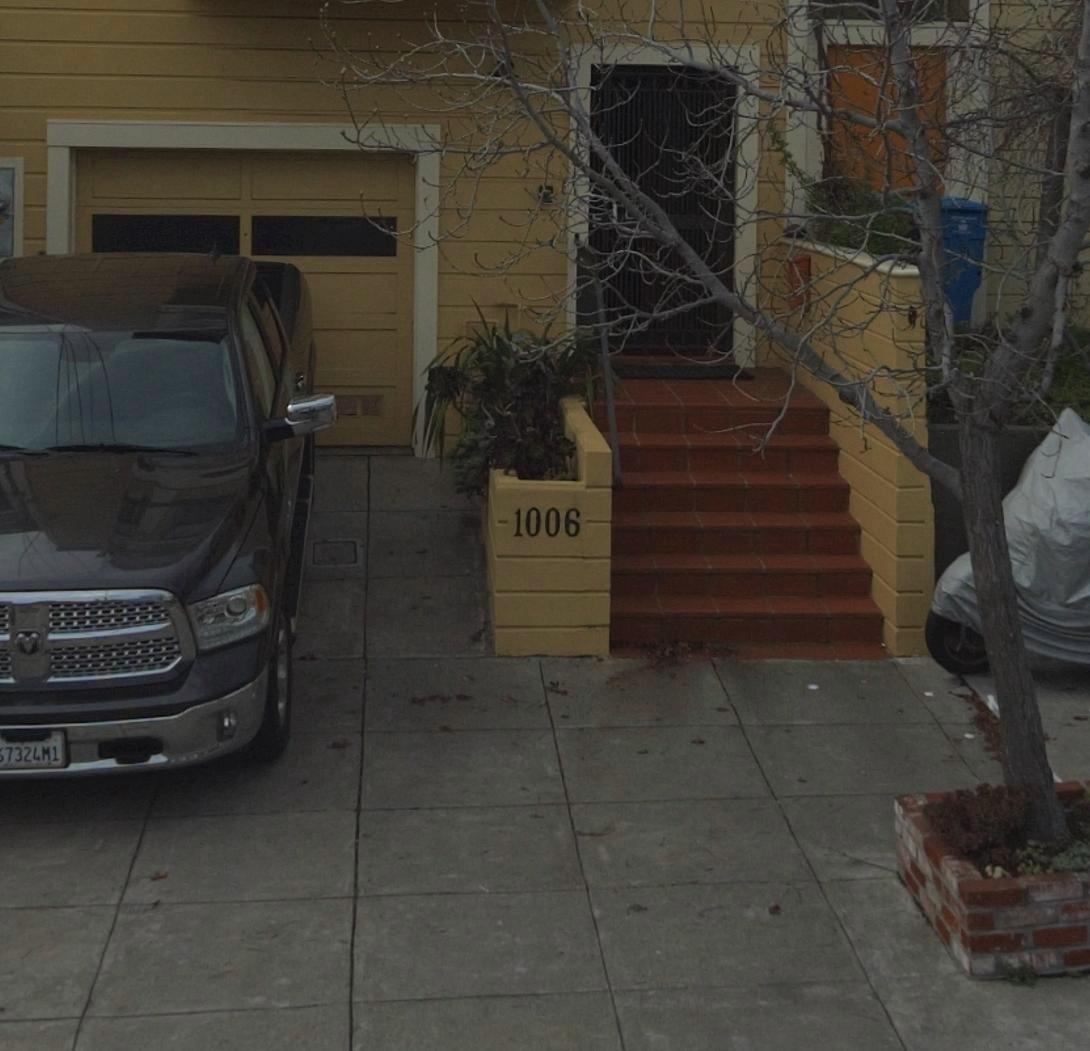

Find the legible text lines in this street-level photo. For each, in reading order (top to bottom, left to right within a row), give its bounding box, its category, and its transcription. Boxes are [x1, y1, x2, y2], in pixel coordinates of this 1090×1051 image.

[511, 504, 584, 539] StreetNumber: 1006
[1, 744, 61, 764] None: 7324M1